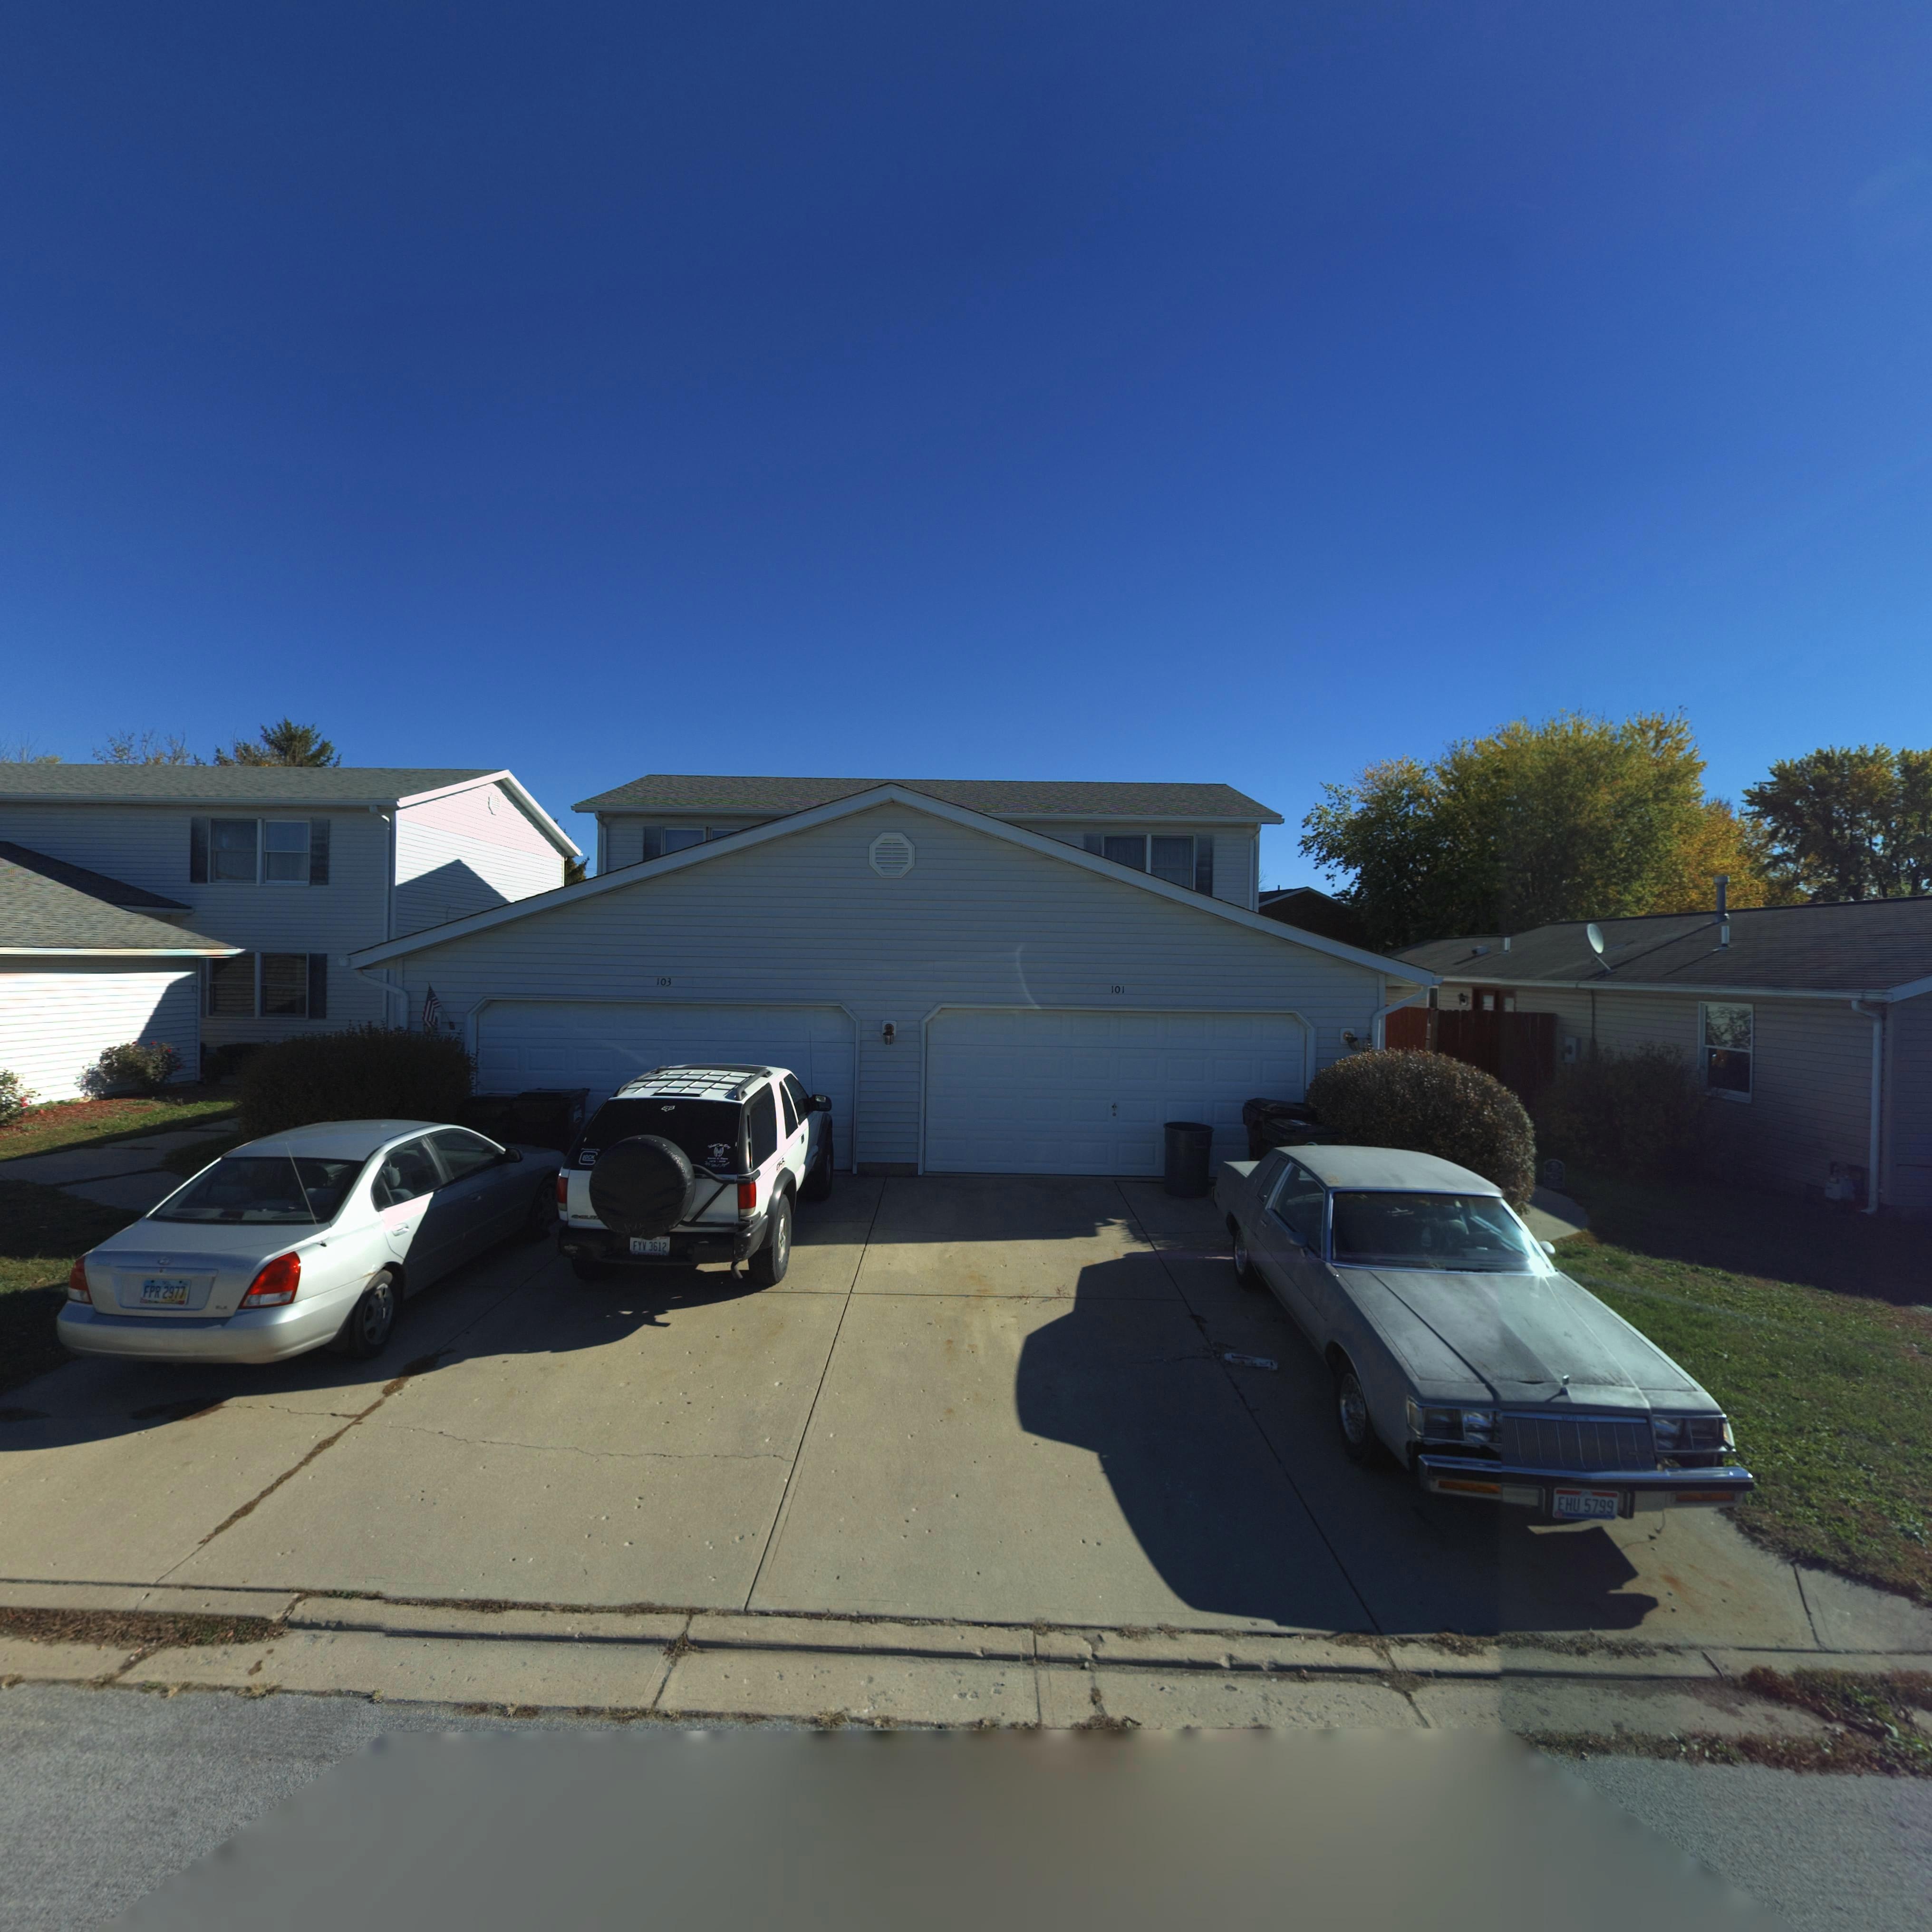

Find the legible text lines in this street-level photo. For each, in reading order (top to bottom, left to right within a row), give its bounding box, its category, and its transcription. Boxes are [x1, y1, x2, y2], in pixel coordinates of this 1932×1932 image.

[656, 976, 672, 986] StreetNumber: 103
[1110, 985, 1125, 994] StreetNumber: 101